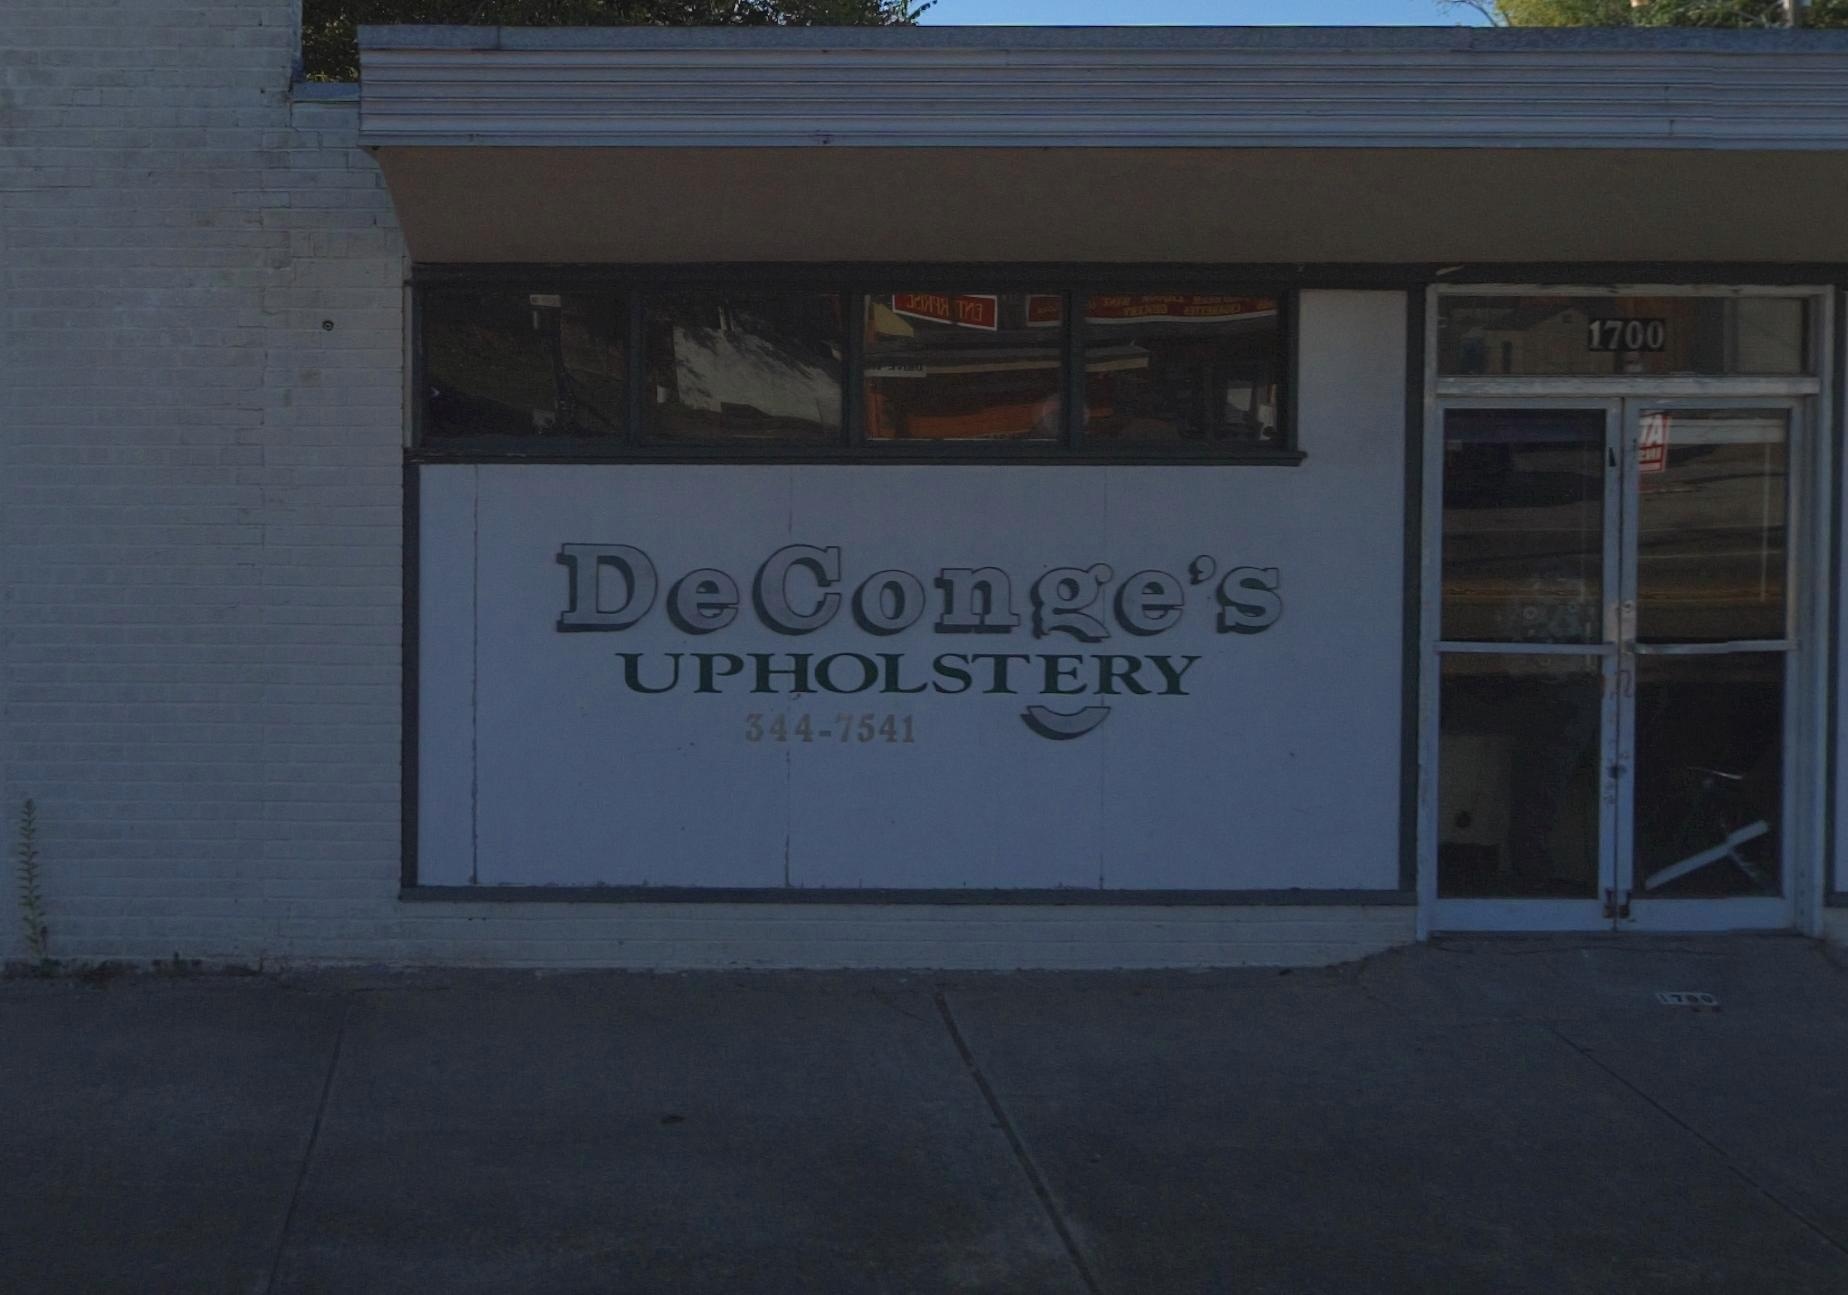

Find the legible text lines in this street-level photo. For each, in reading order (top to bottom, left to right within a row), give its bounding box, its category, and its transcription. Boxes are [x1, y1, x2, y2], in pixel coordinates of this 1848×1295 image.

[1587, 317, 1665, 350] StreetNumber: 1700
[1643, 413, 1665, 447] None: A
[553, 536, 1288, 643] BusinessName: DeConge's
[609, 645, 1203, 698] BusinessName: UPHOLSTERY
[741, 707, 917, 746] None: 344-7541